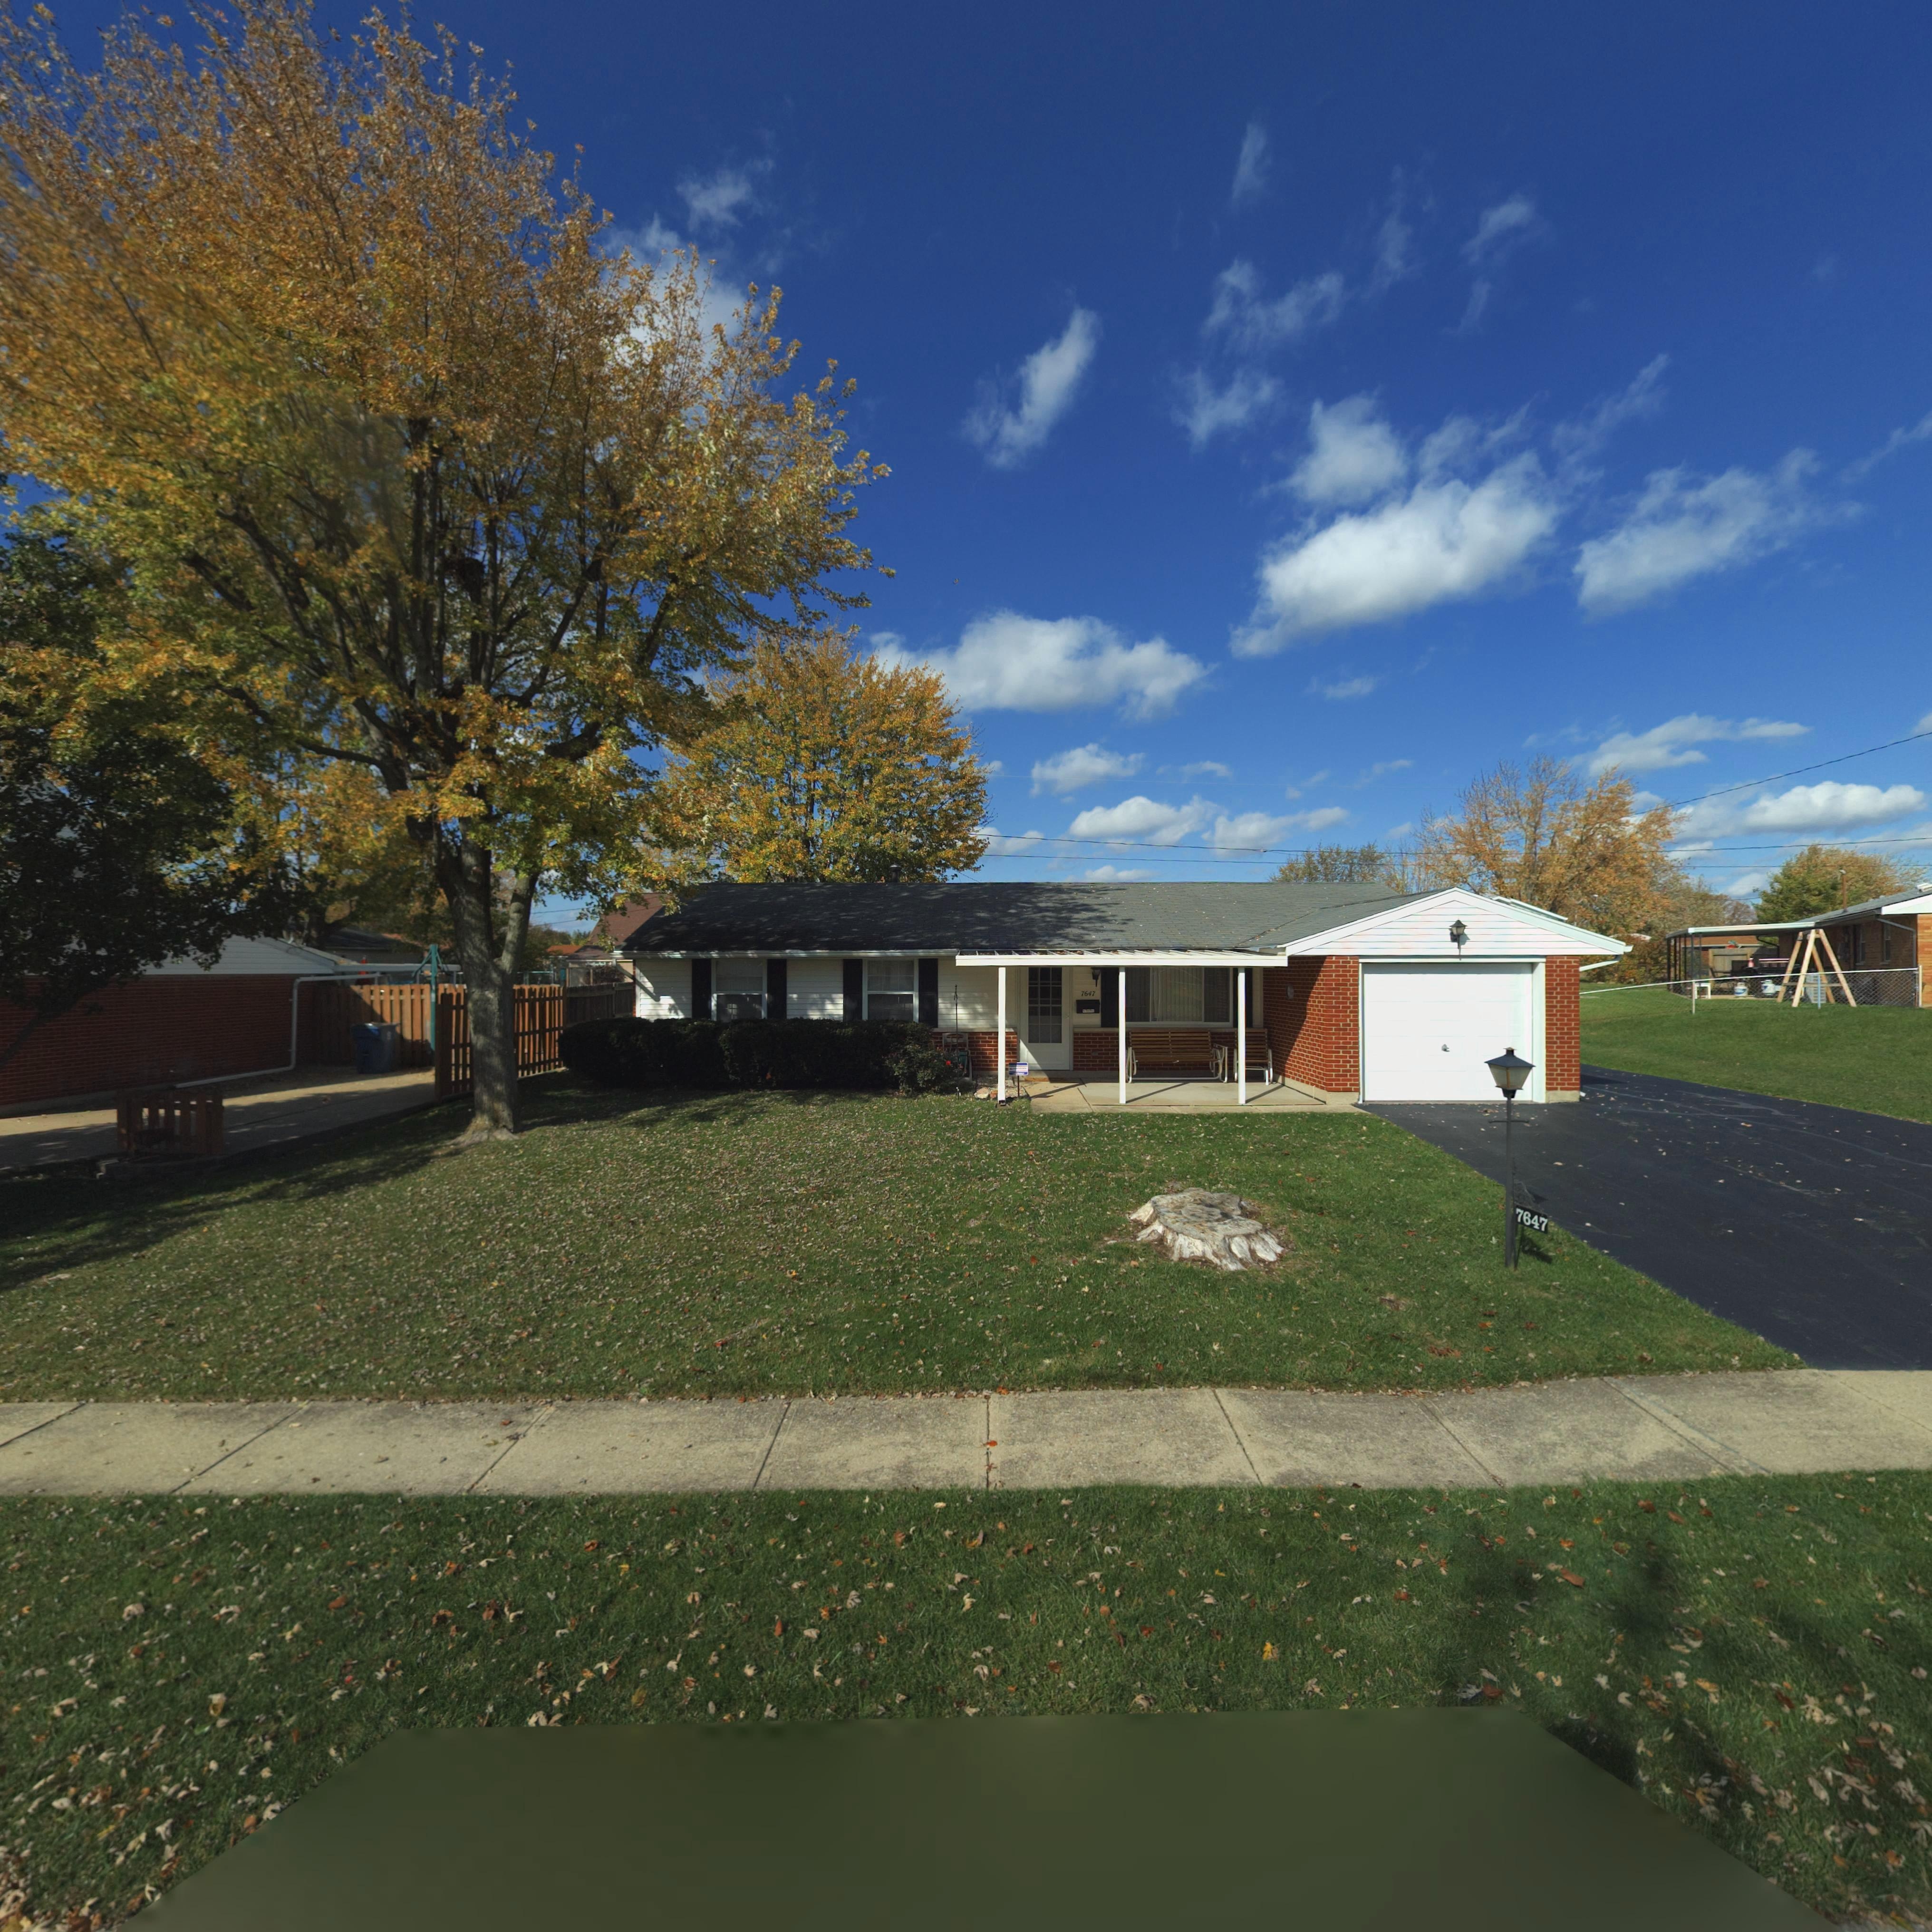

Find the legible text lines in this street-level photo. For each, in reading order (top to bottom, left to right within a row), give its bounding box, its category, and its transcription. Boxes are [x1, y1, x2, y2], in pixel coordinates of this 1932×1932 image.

[1081, 990, 1097, 997] StreetNumber: 7647
[1515, 1207, 1549, 1233] StreetNumber: 7647